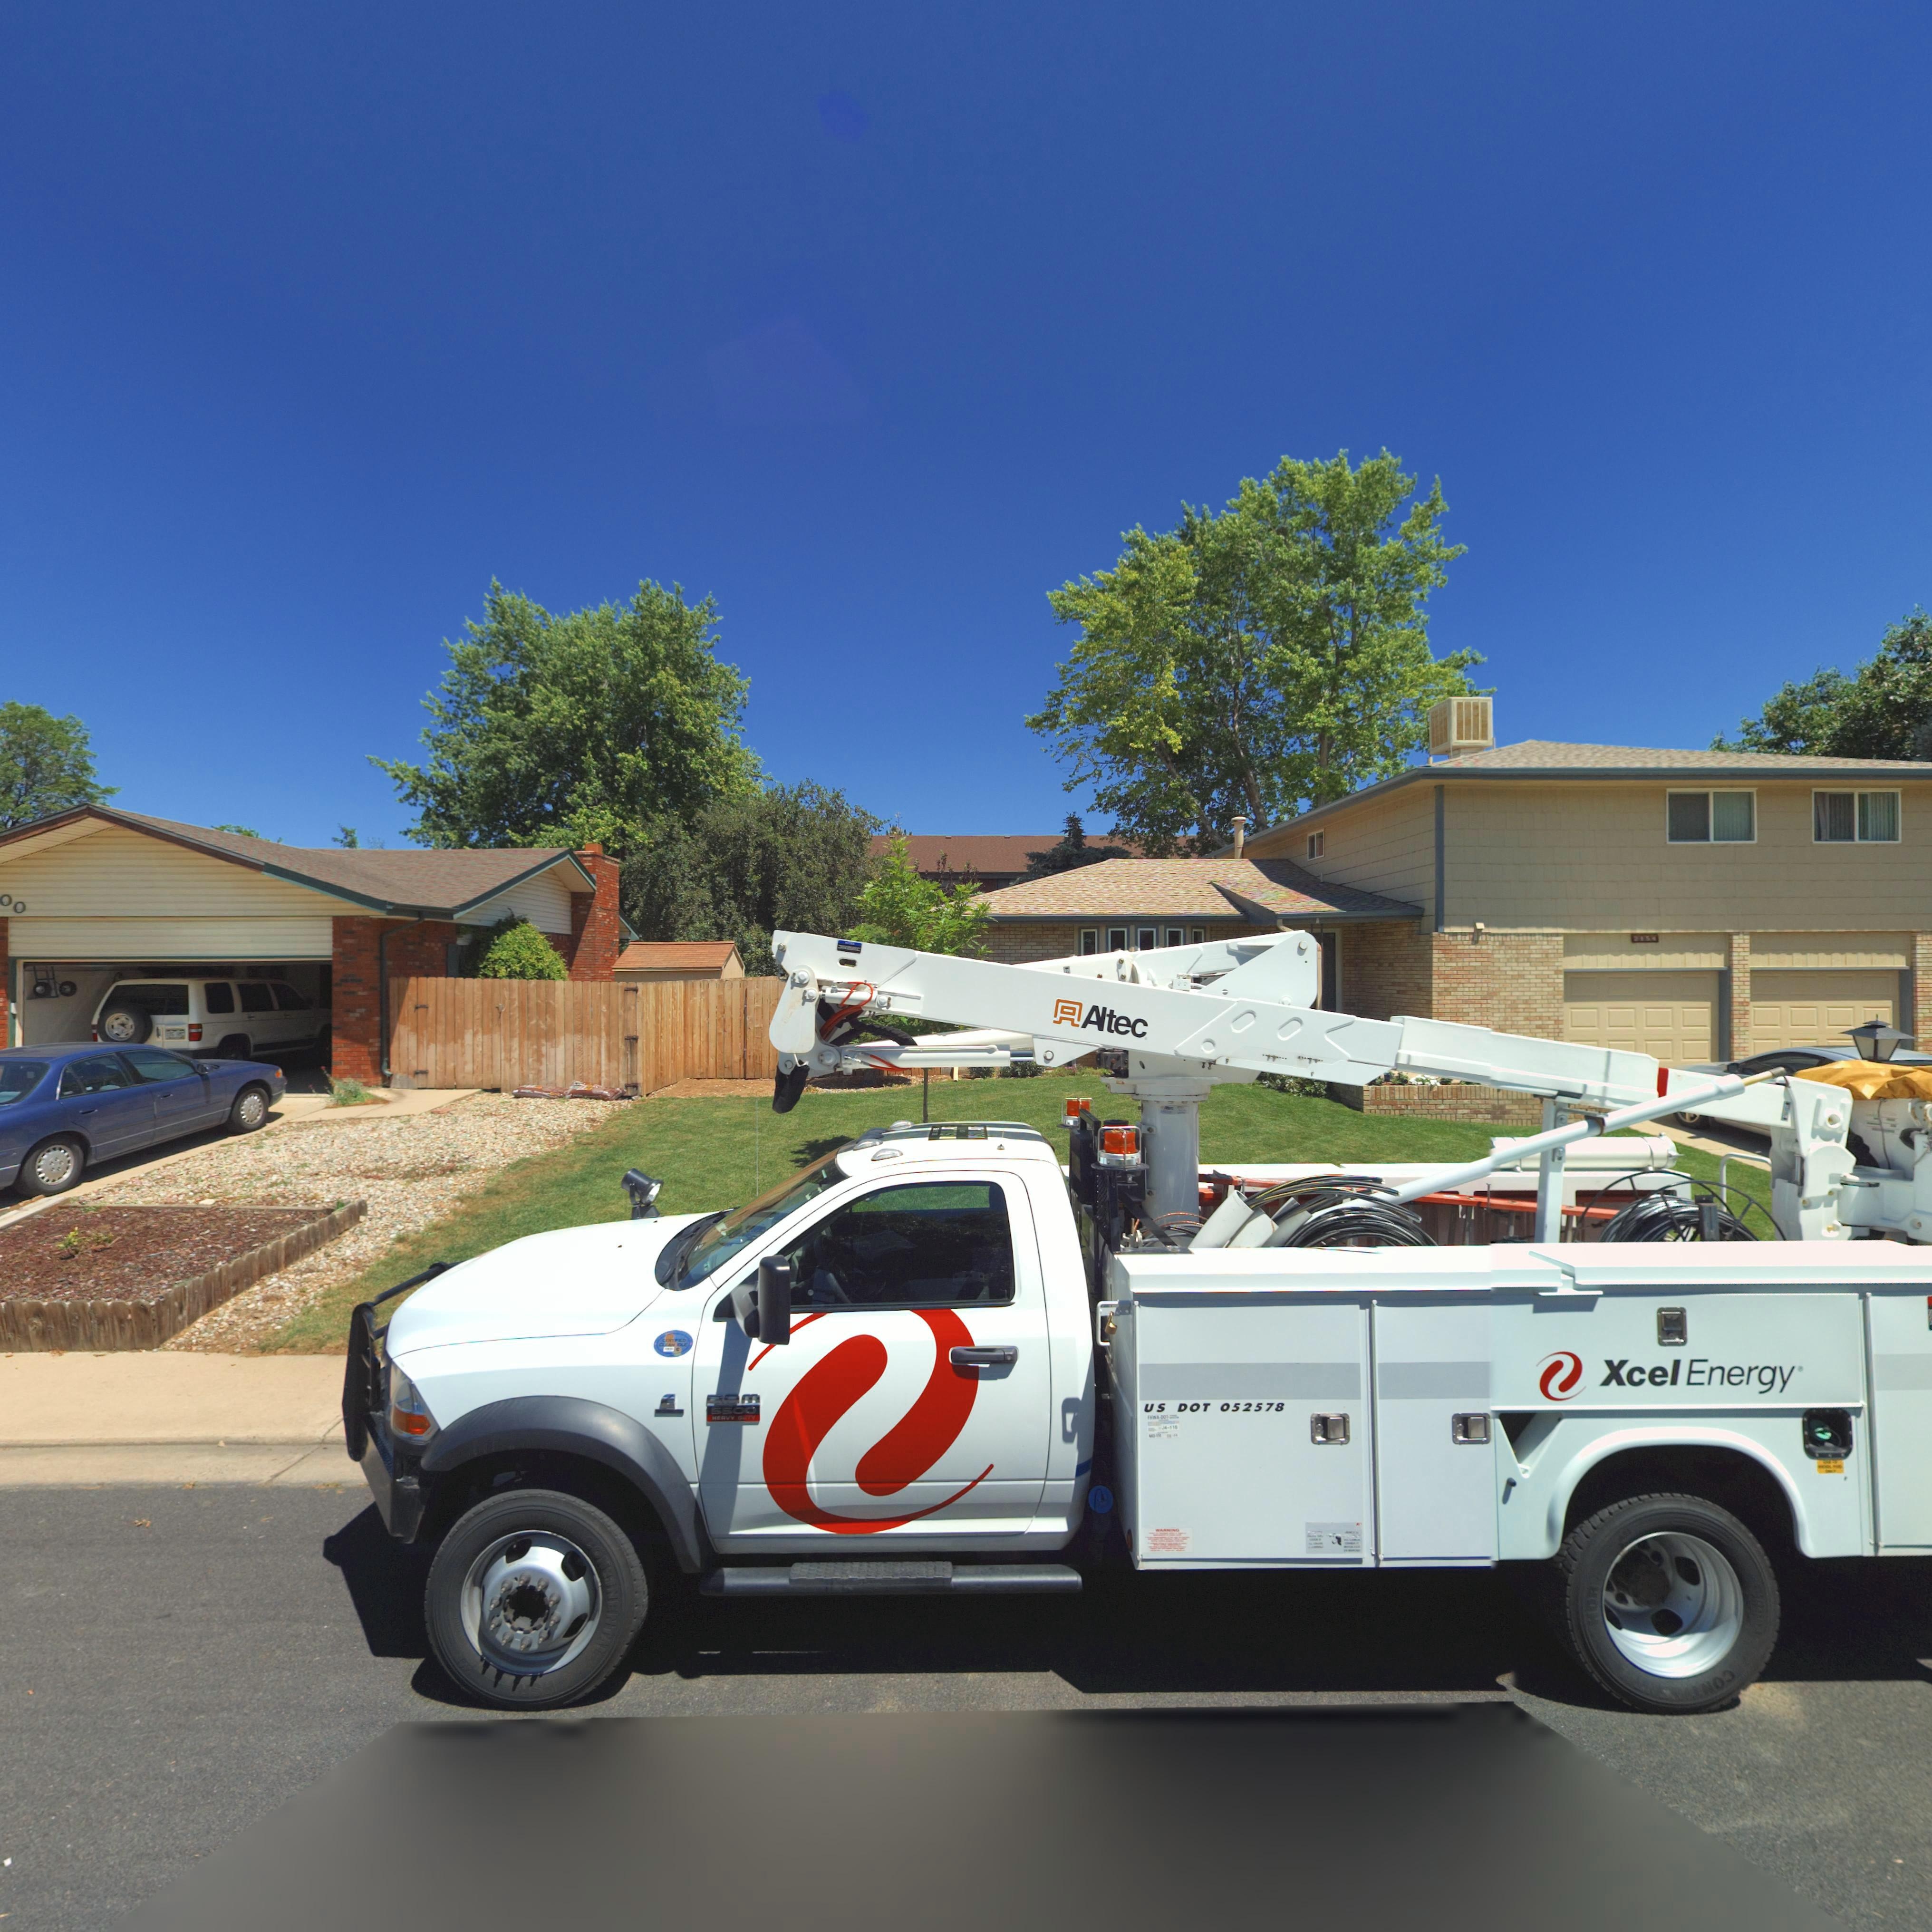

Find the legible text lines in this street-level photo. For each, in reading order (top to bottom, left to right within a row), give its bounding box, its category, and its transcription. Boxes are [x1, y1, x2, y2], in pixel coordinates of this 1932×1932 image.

[0, 890, 29, 915] StreetNumber: 00
[1633, 936, 1656, 941] StreetNumber: 2154